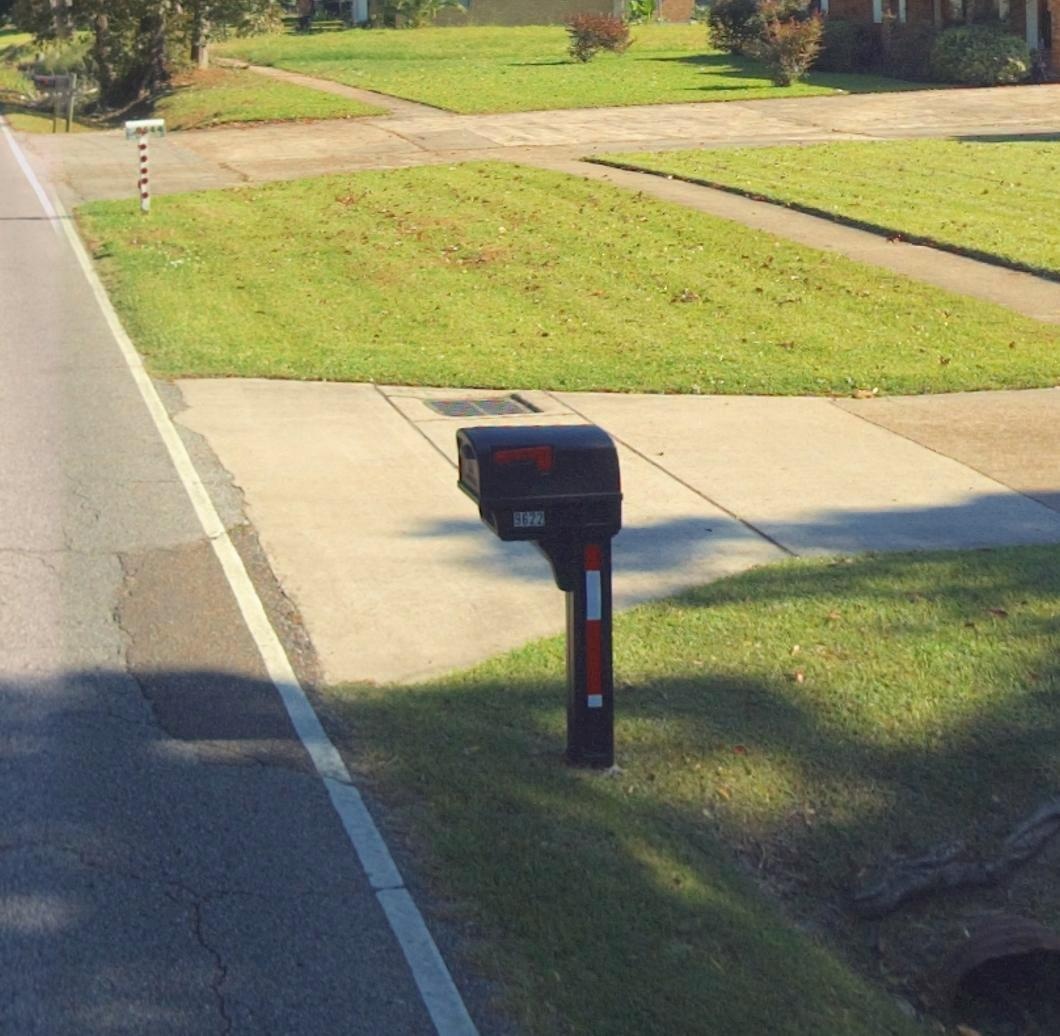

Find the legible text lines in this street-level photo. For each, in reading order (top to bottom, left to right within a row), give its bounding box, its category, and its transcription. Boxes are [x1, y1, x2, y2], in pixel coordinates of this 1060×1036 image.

[514, 512, 543, 526] StreetNumber: 9622